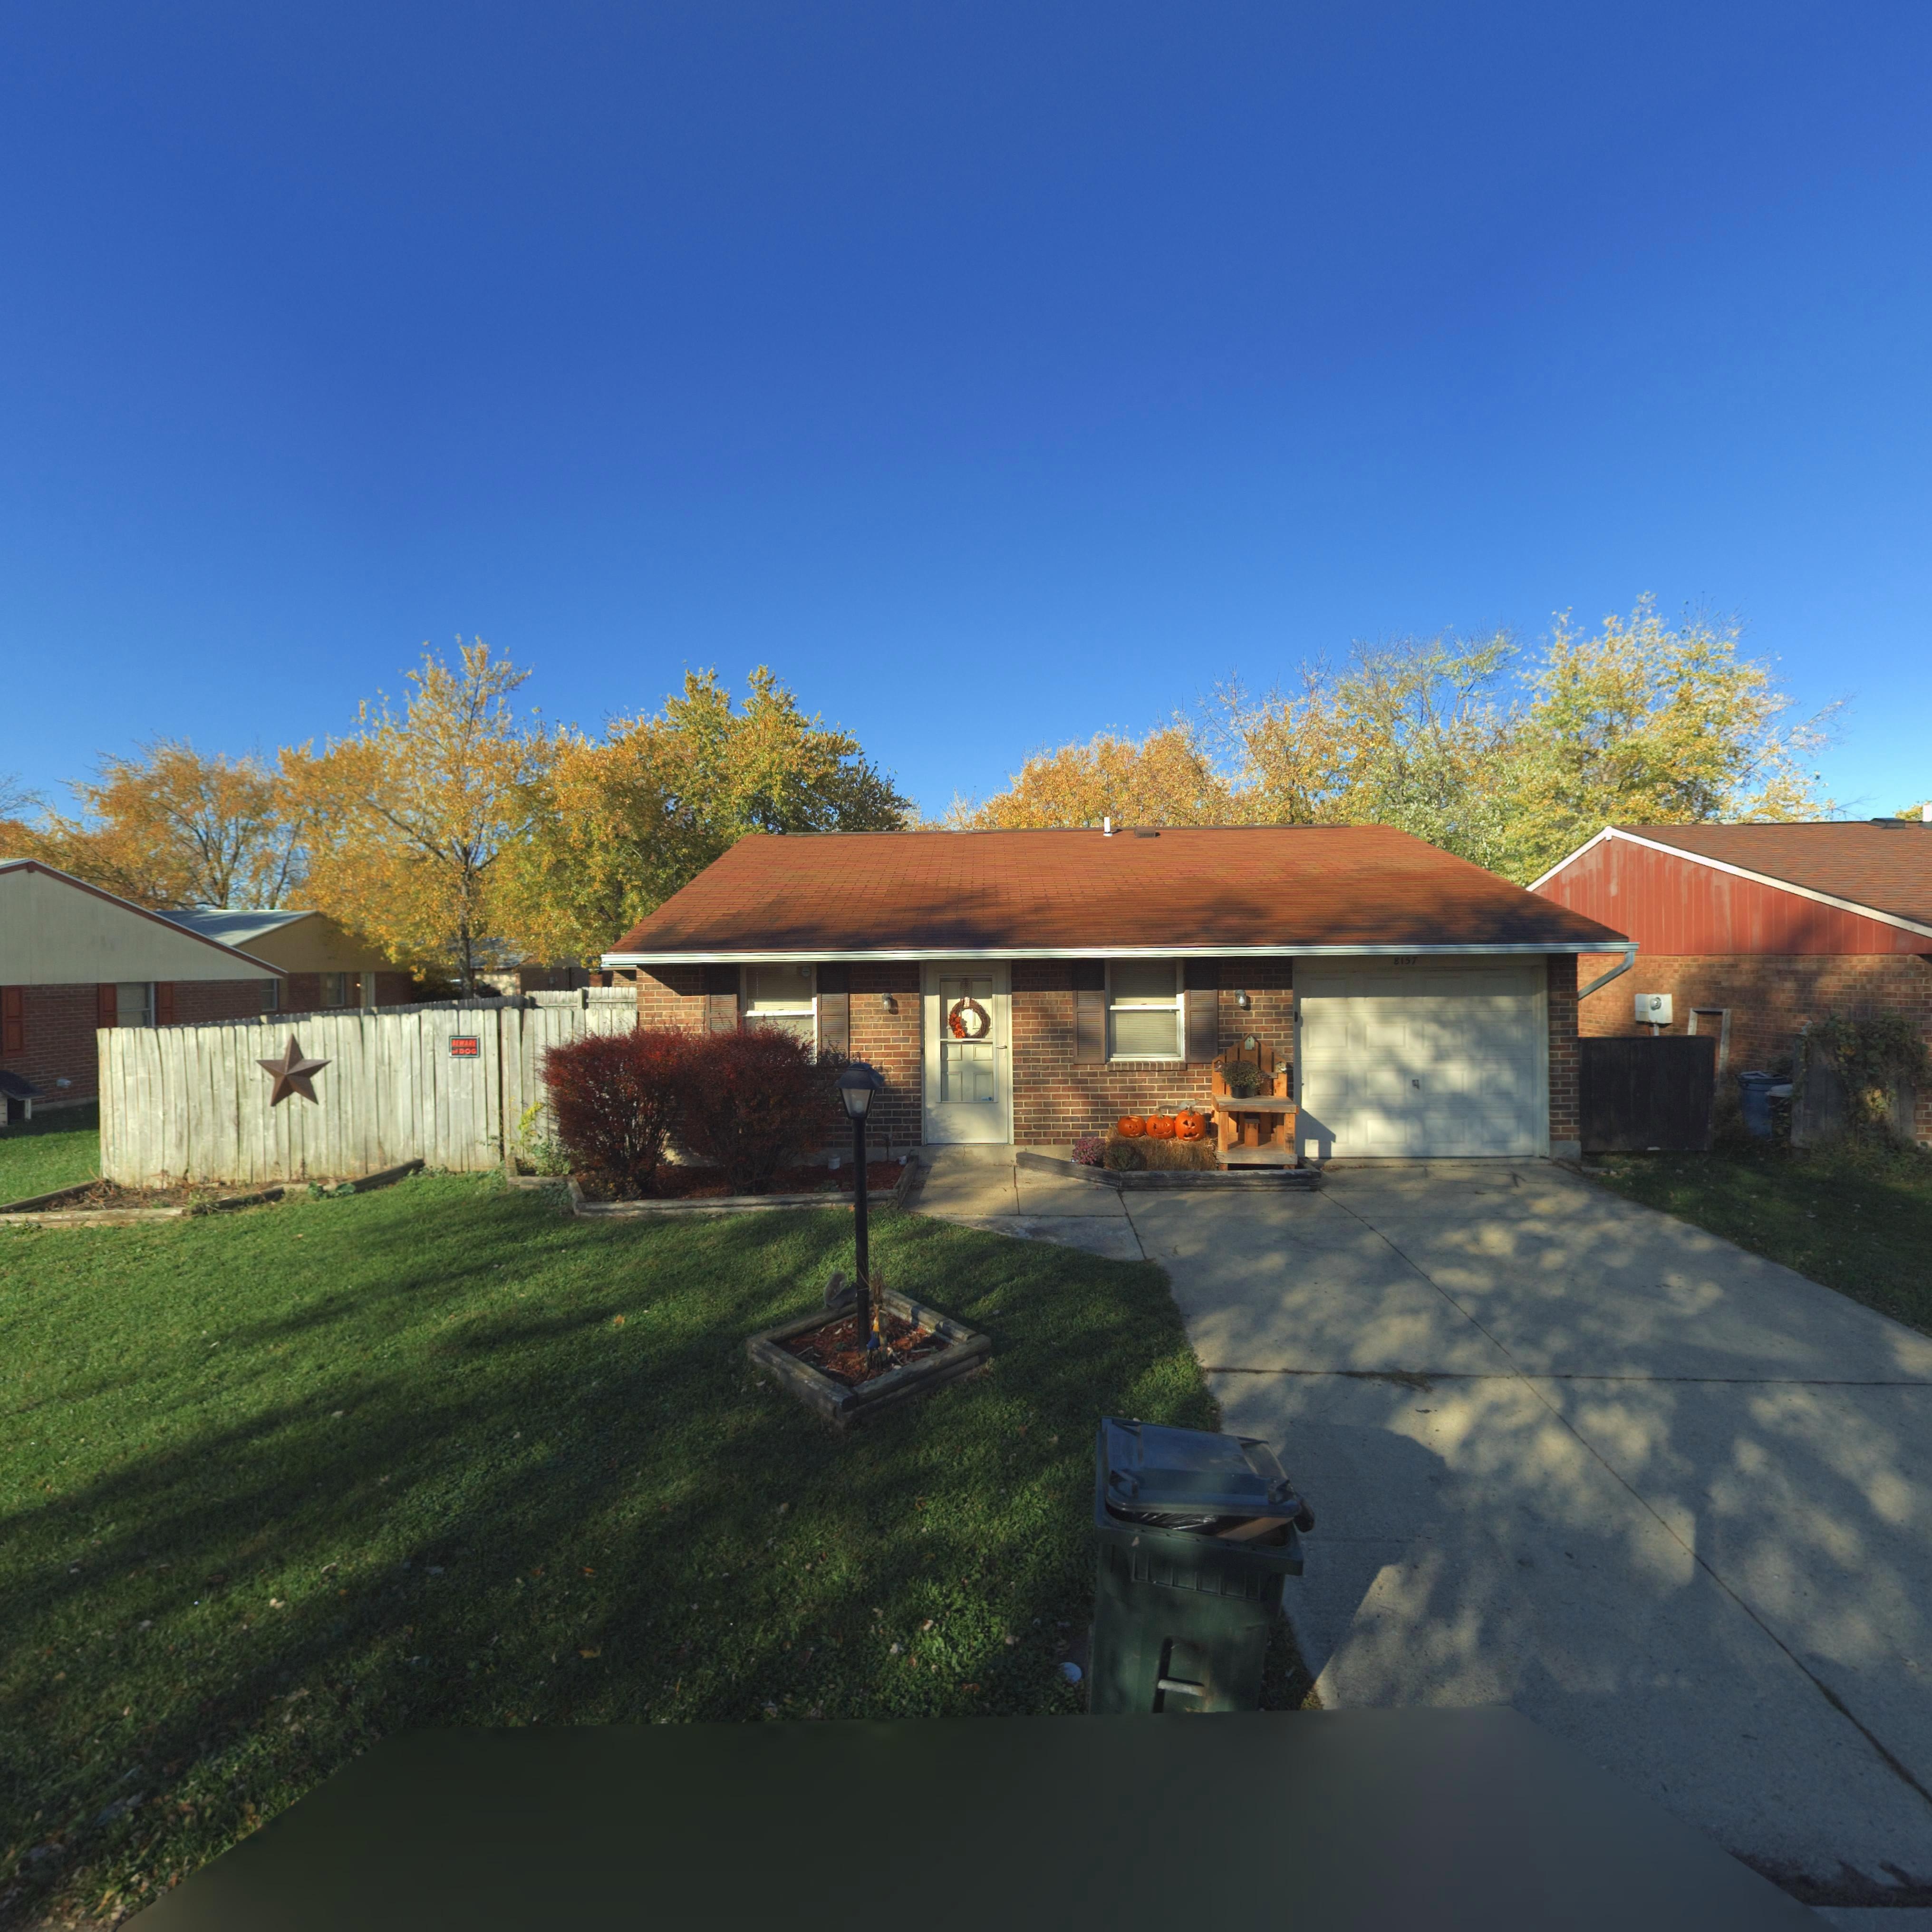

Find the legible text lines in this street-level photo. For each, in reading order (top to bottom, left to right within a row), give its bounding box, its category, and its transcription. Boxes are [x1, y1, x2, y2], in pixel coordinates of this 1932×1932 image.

[1393, 956, 1419, 965] StreetNumber: 8157